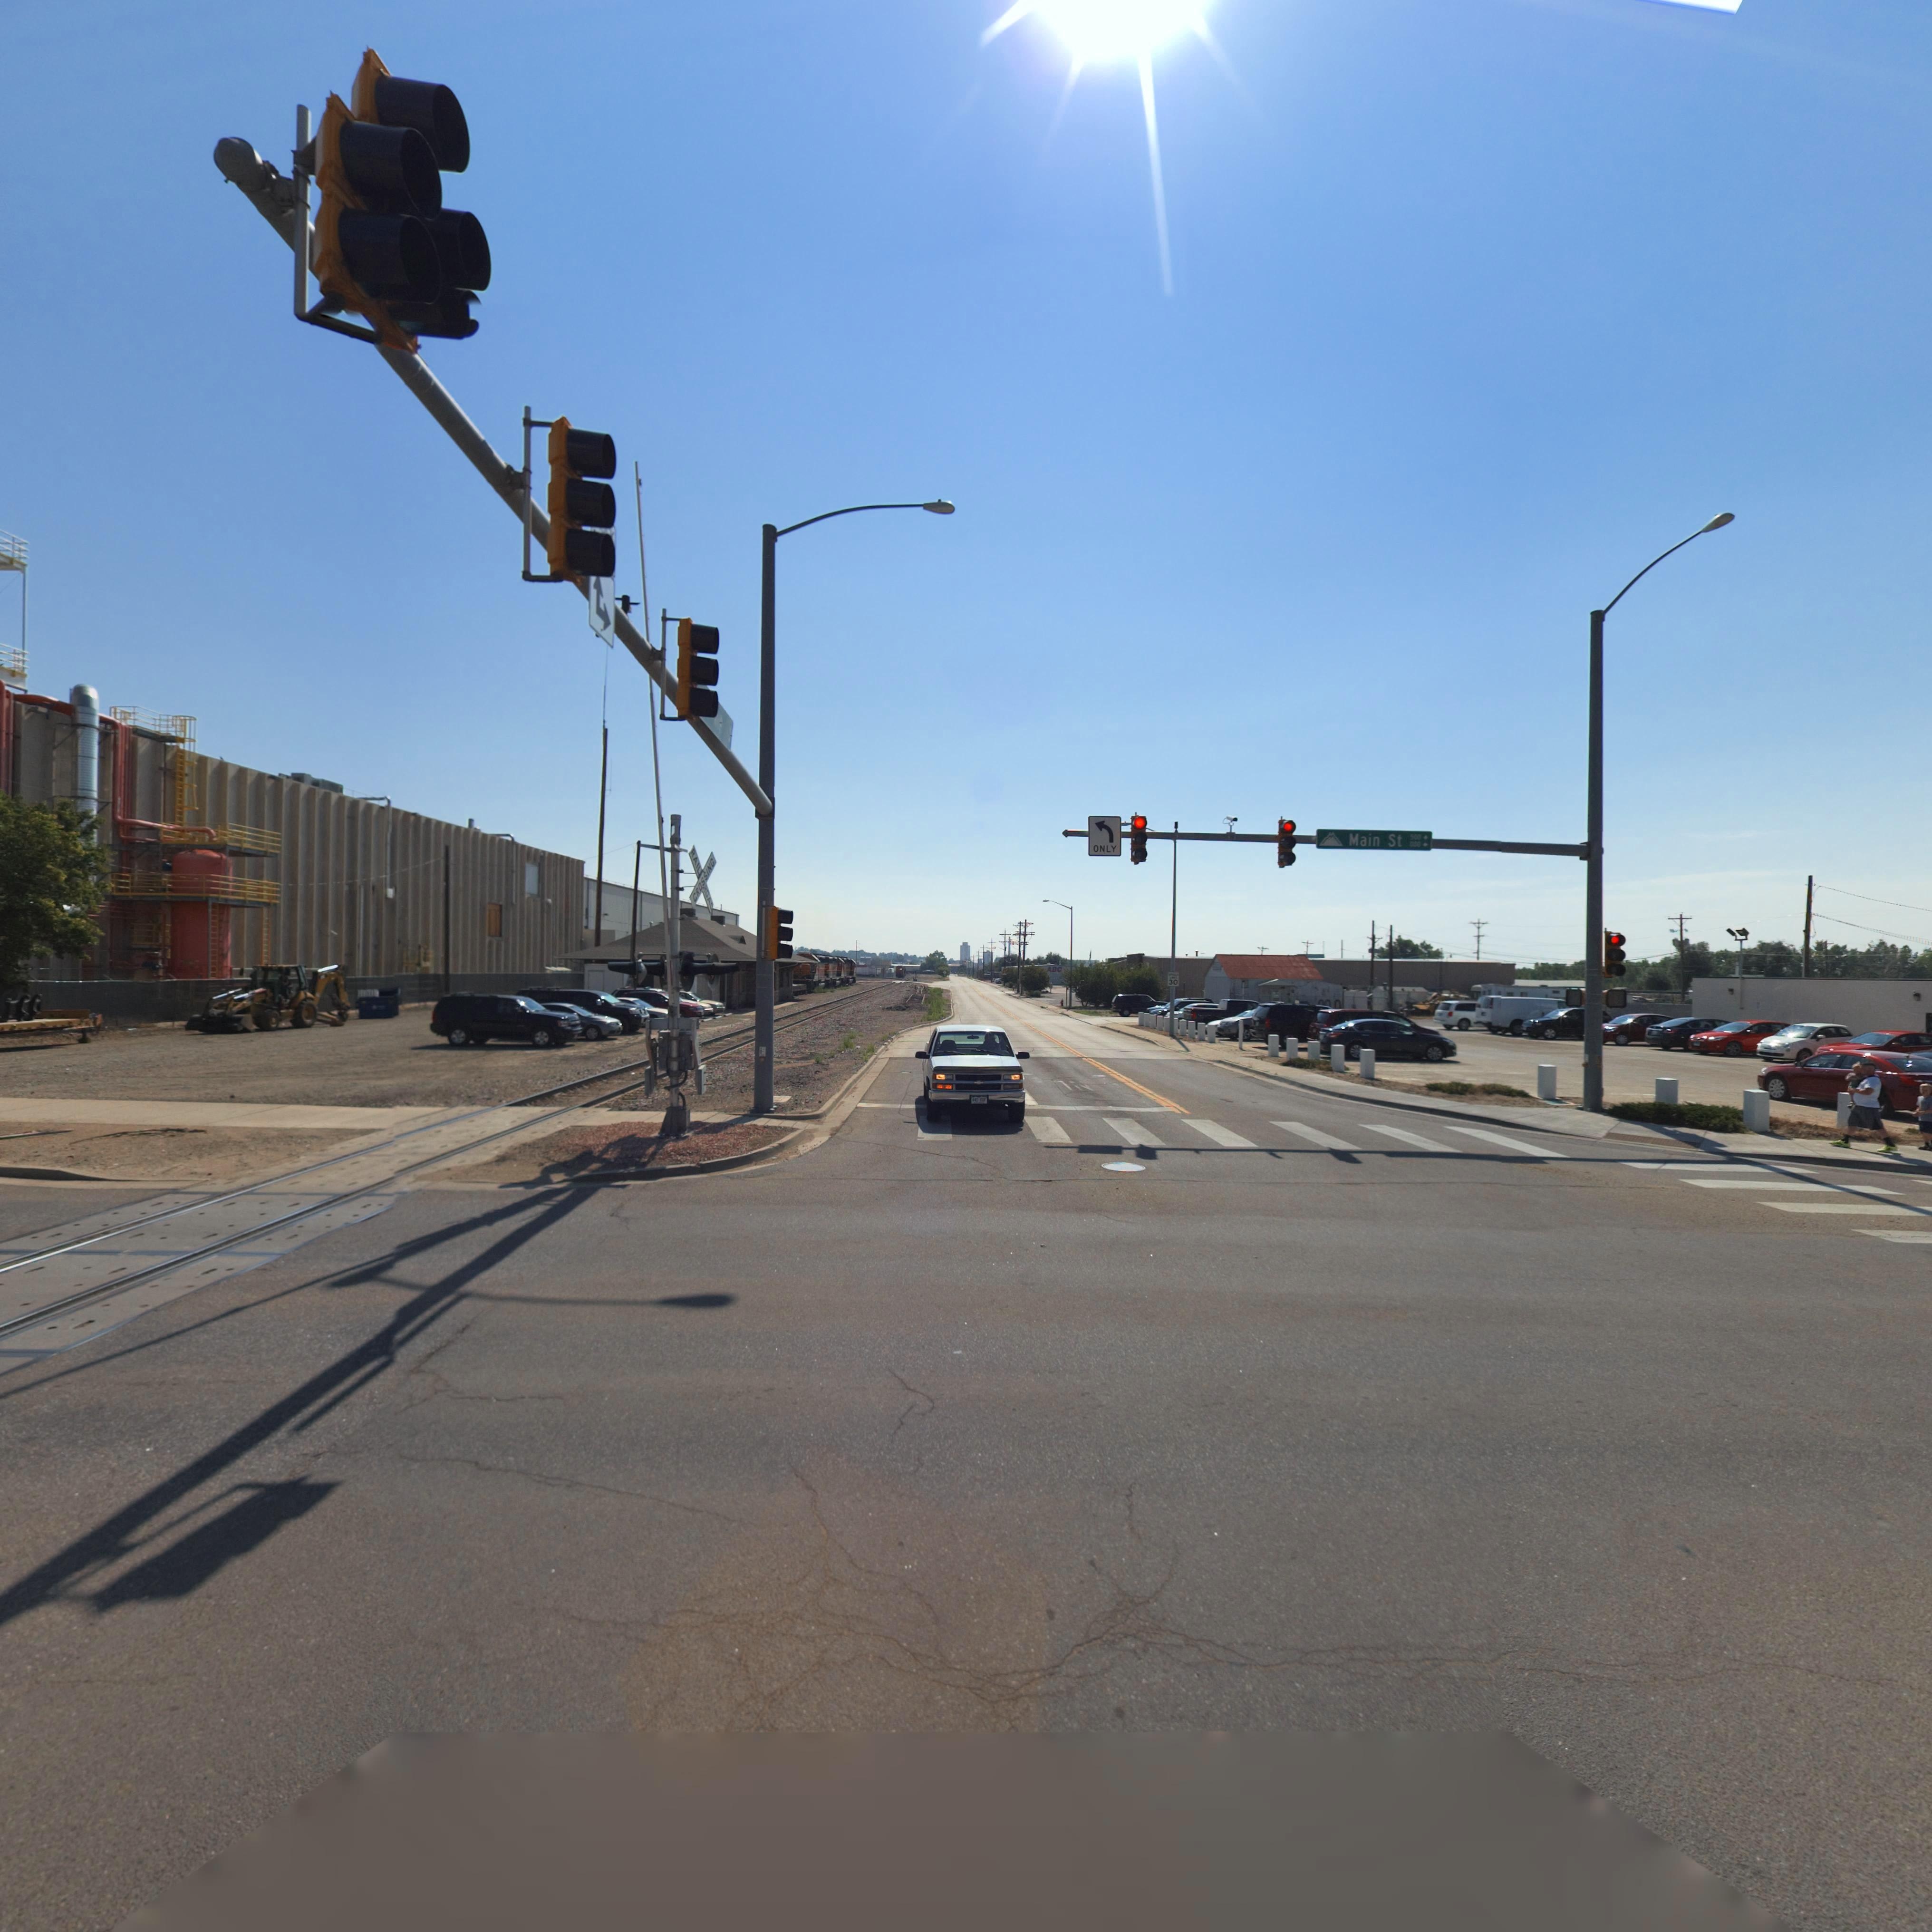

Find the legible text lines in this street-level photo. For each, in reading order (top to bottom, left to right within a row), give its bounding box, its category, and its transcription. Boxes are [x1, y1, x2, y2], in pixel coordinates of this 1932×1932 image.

[1349, 832, 1403, 848] StreetName: Main St
[1409, 833, 1421, 840] StreetNumberRange: *00
[1409, 840, 1428, 847] StreetNumberRange: **0 ->
[1046, 966, 1062, 972] BusinessName: ABC